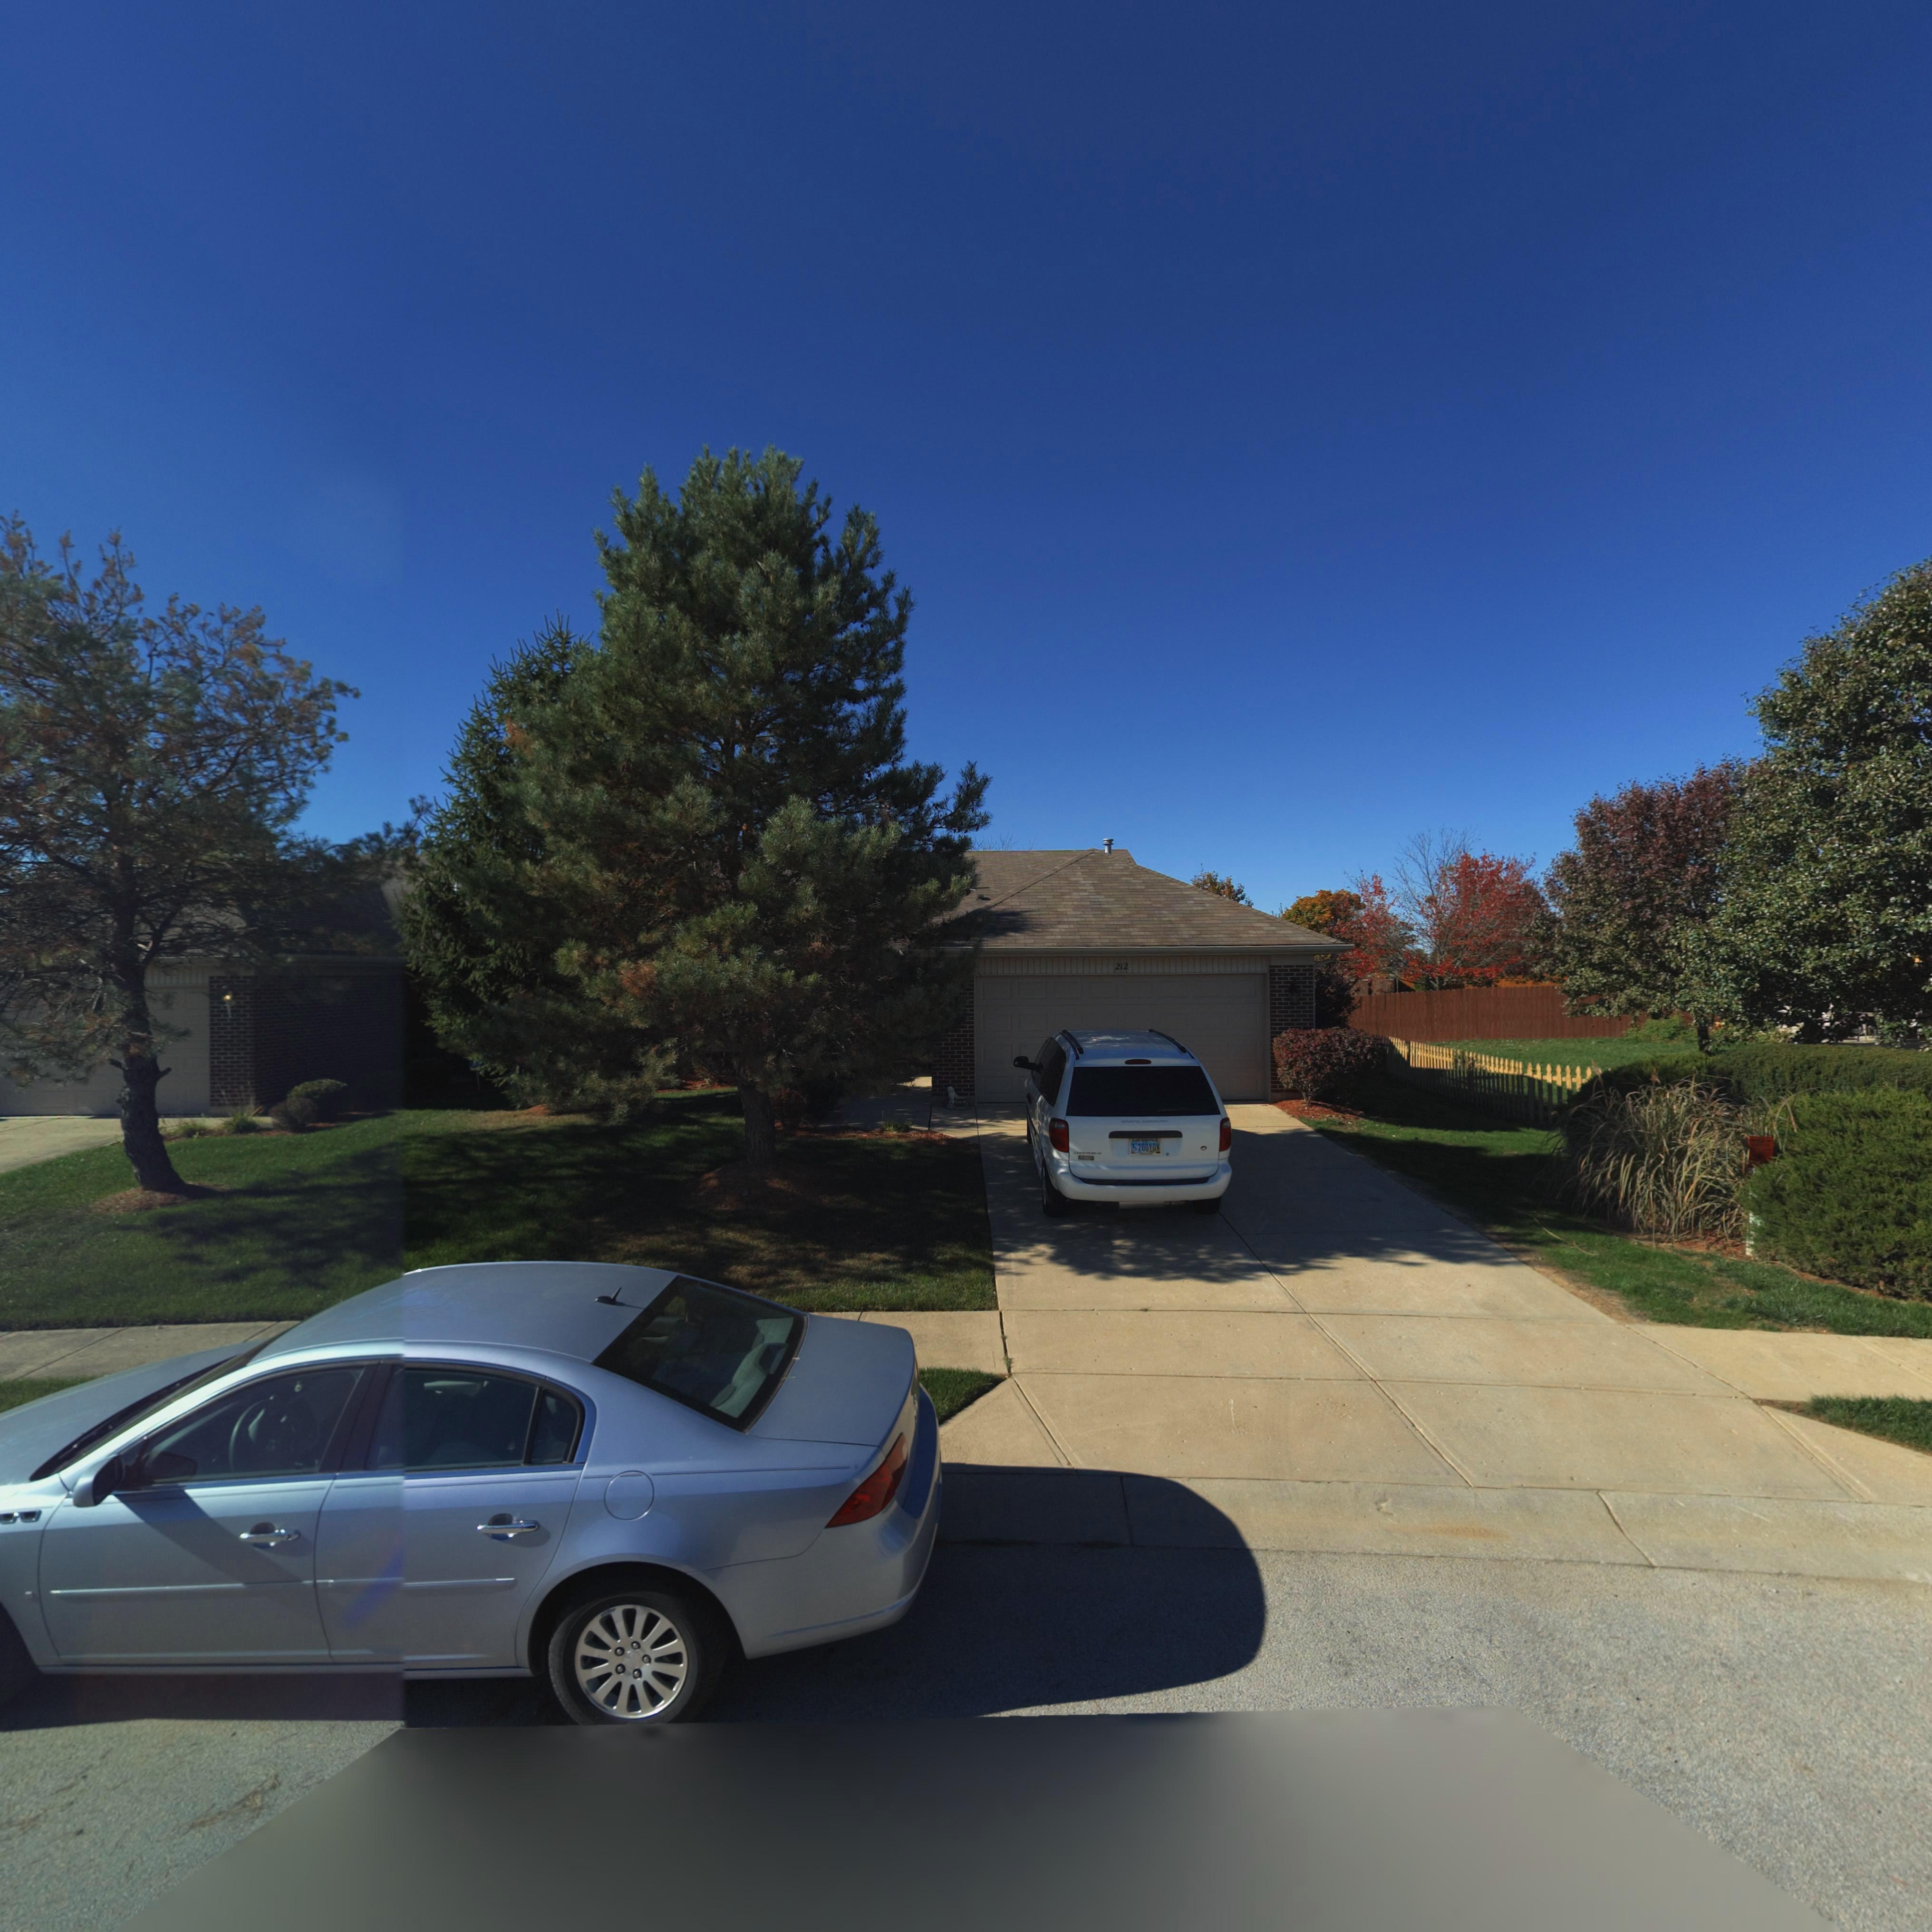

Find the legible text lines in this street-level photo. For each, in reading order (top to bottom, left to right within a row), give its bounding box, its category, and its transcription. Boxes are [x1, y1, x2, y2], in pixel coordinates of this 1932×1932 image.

[1115, 962, 1128, 970] StreetNumber: 212
[1137, 1141, 1159, 1151] None: 200YDY